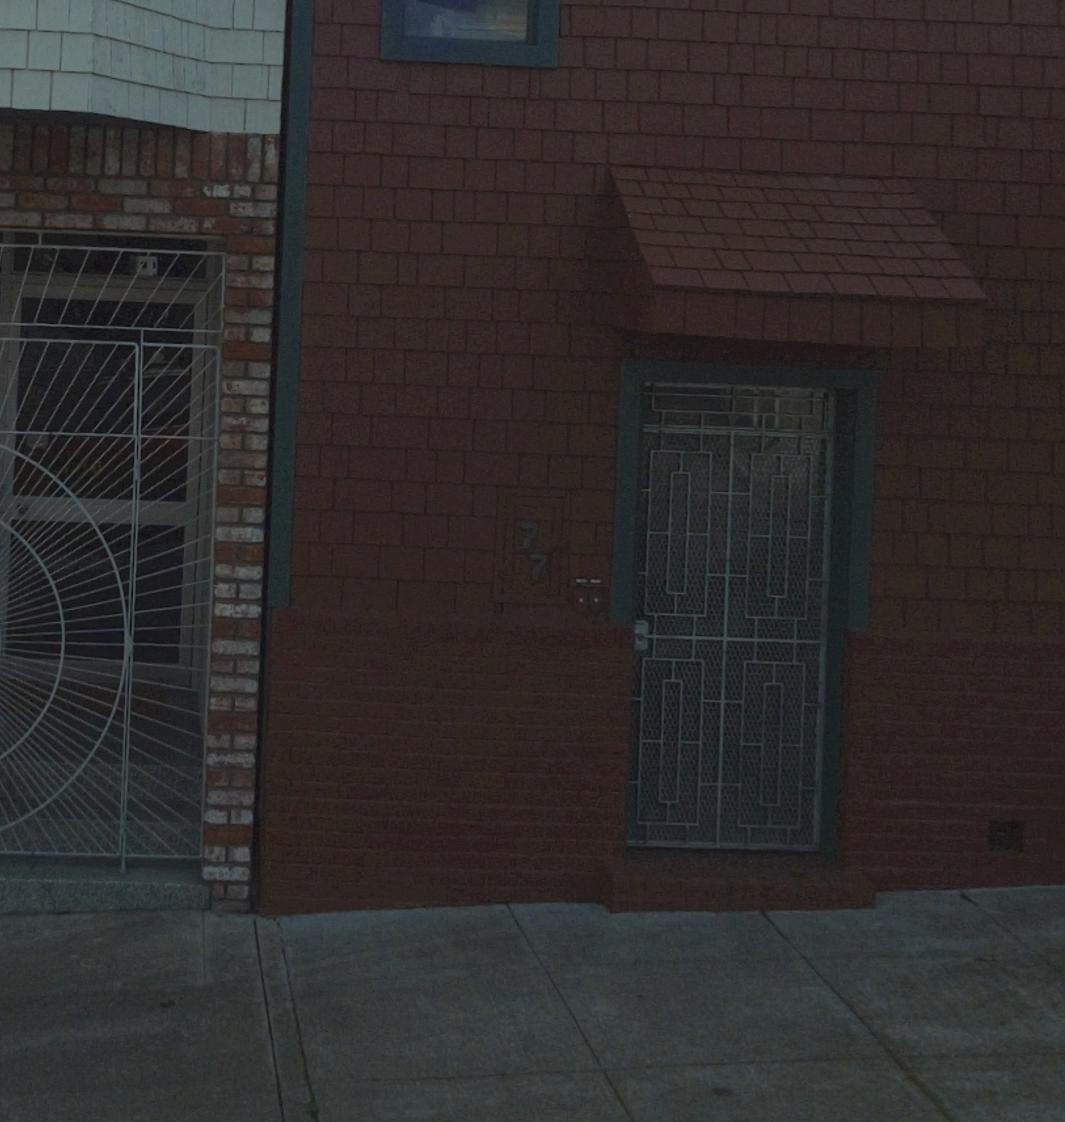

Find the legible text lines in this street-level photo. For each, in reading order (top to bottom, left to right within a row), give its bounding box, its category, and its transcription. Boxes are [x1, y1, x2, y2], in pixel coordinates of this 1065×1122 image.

[516, 518, 548, 581] StreetNumber: 77